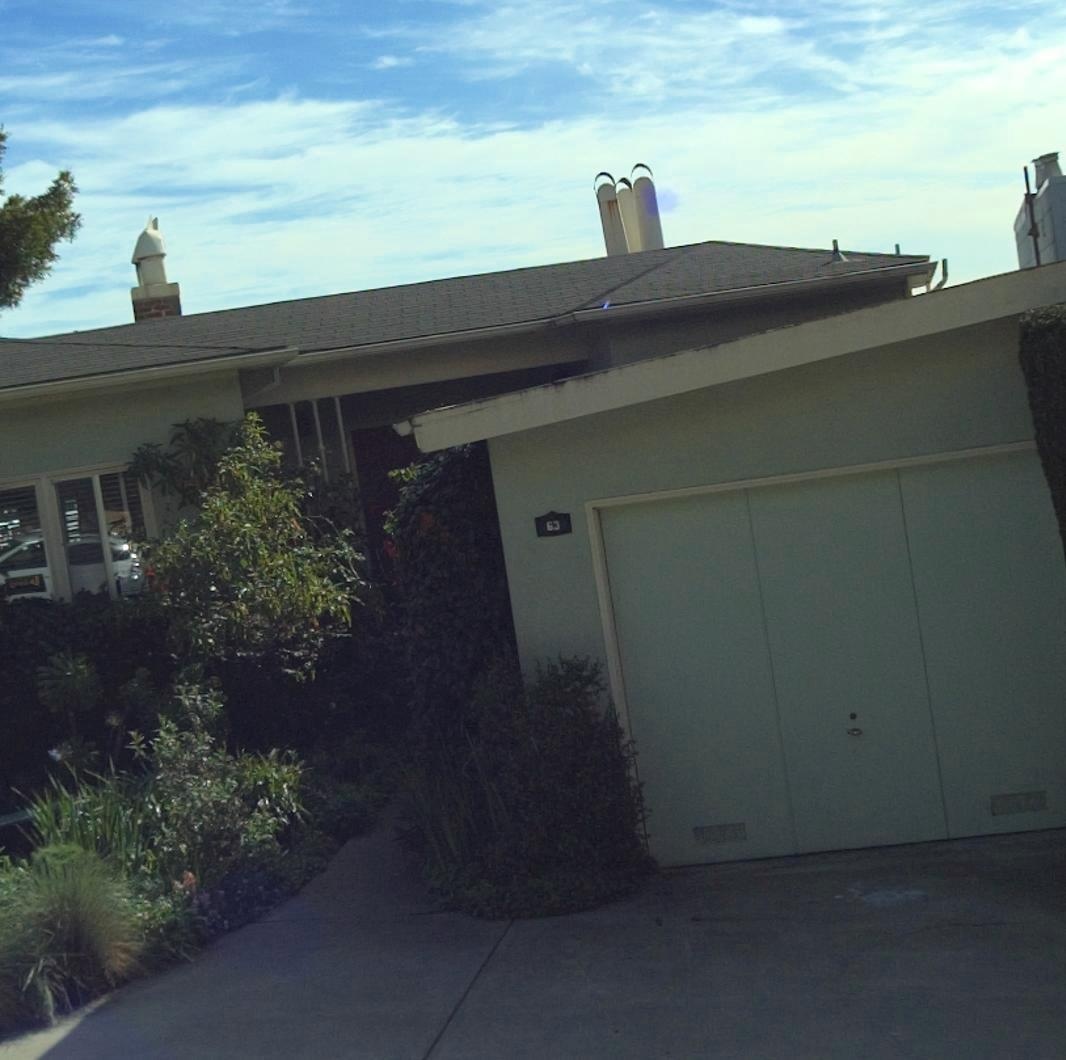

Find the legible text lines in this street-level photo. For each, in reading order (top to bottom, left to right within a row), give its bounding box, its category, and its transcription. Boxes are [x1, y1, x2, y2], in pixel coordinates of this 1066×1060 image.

[545, 519, 562, 532] StreetNumber: 63